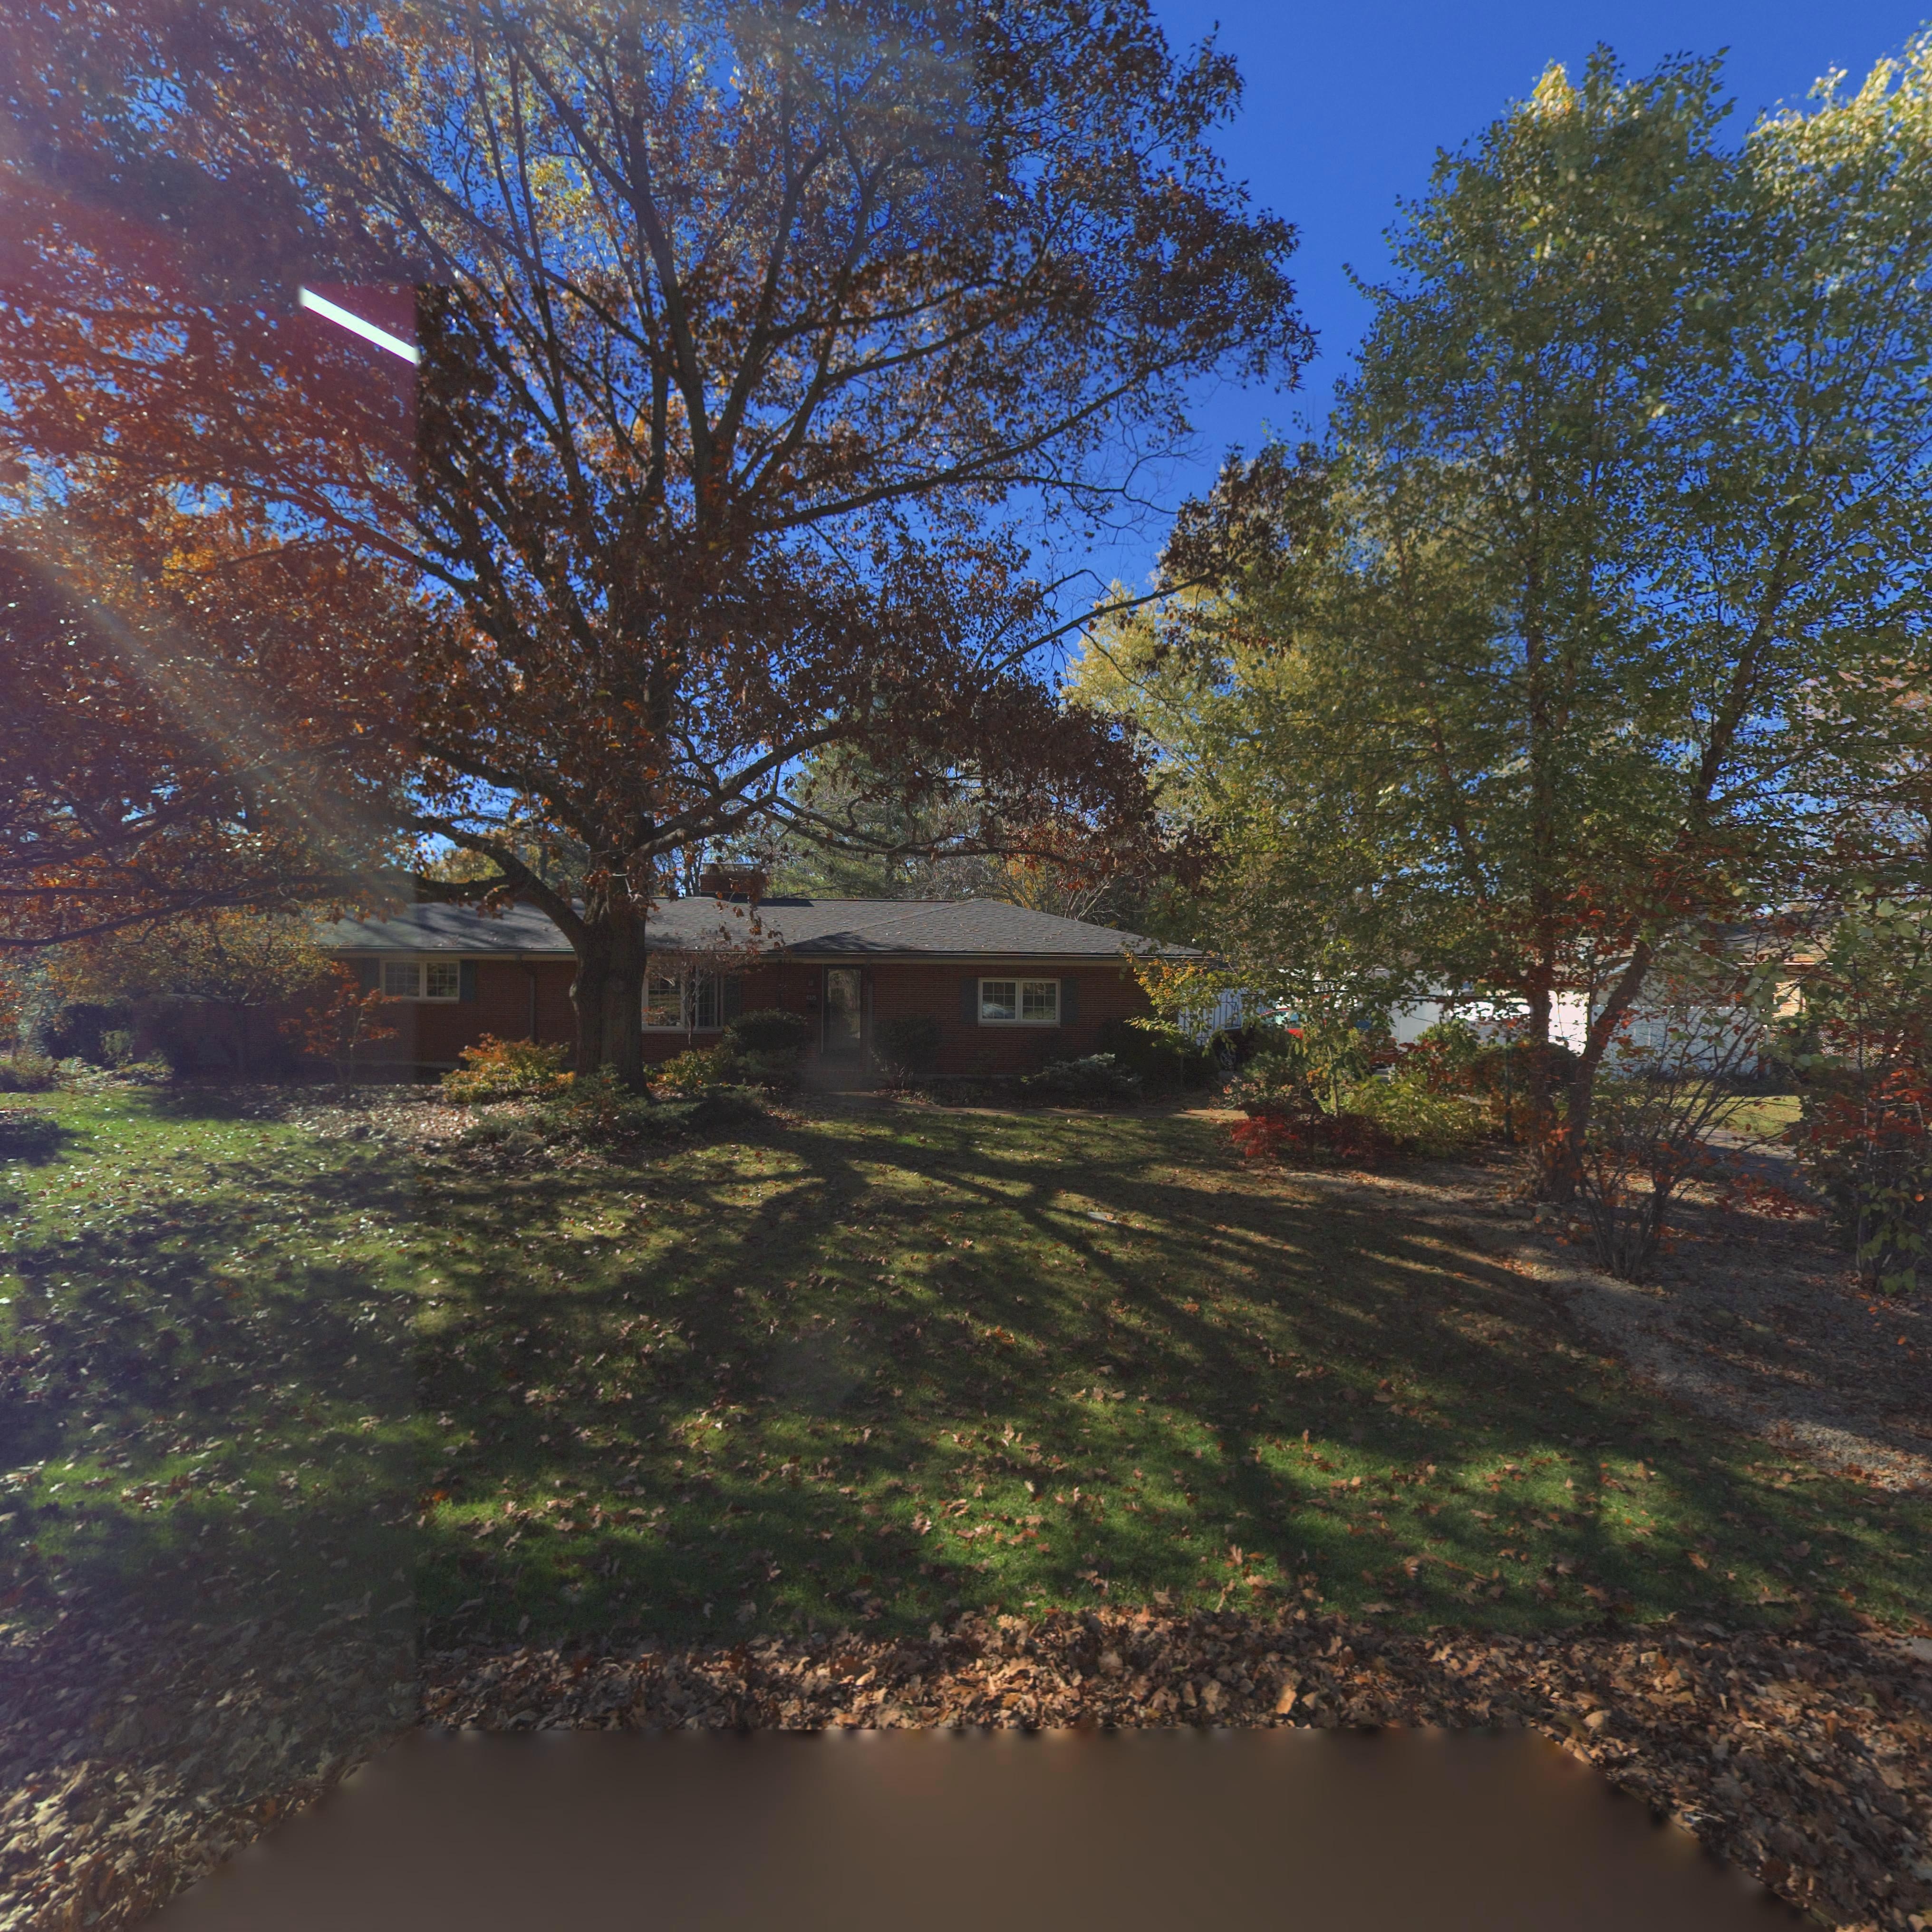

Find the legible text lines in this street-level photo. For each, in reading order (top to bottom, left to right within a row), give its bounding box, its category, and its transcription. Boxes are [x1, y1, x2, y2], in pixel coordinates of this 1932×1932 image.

[806, 995, 817, 1001] StreetNumber: 6375